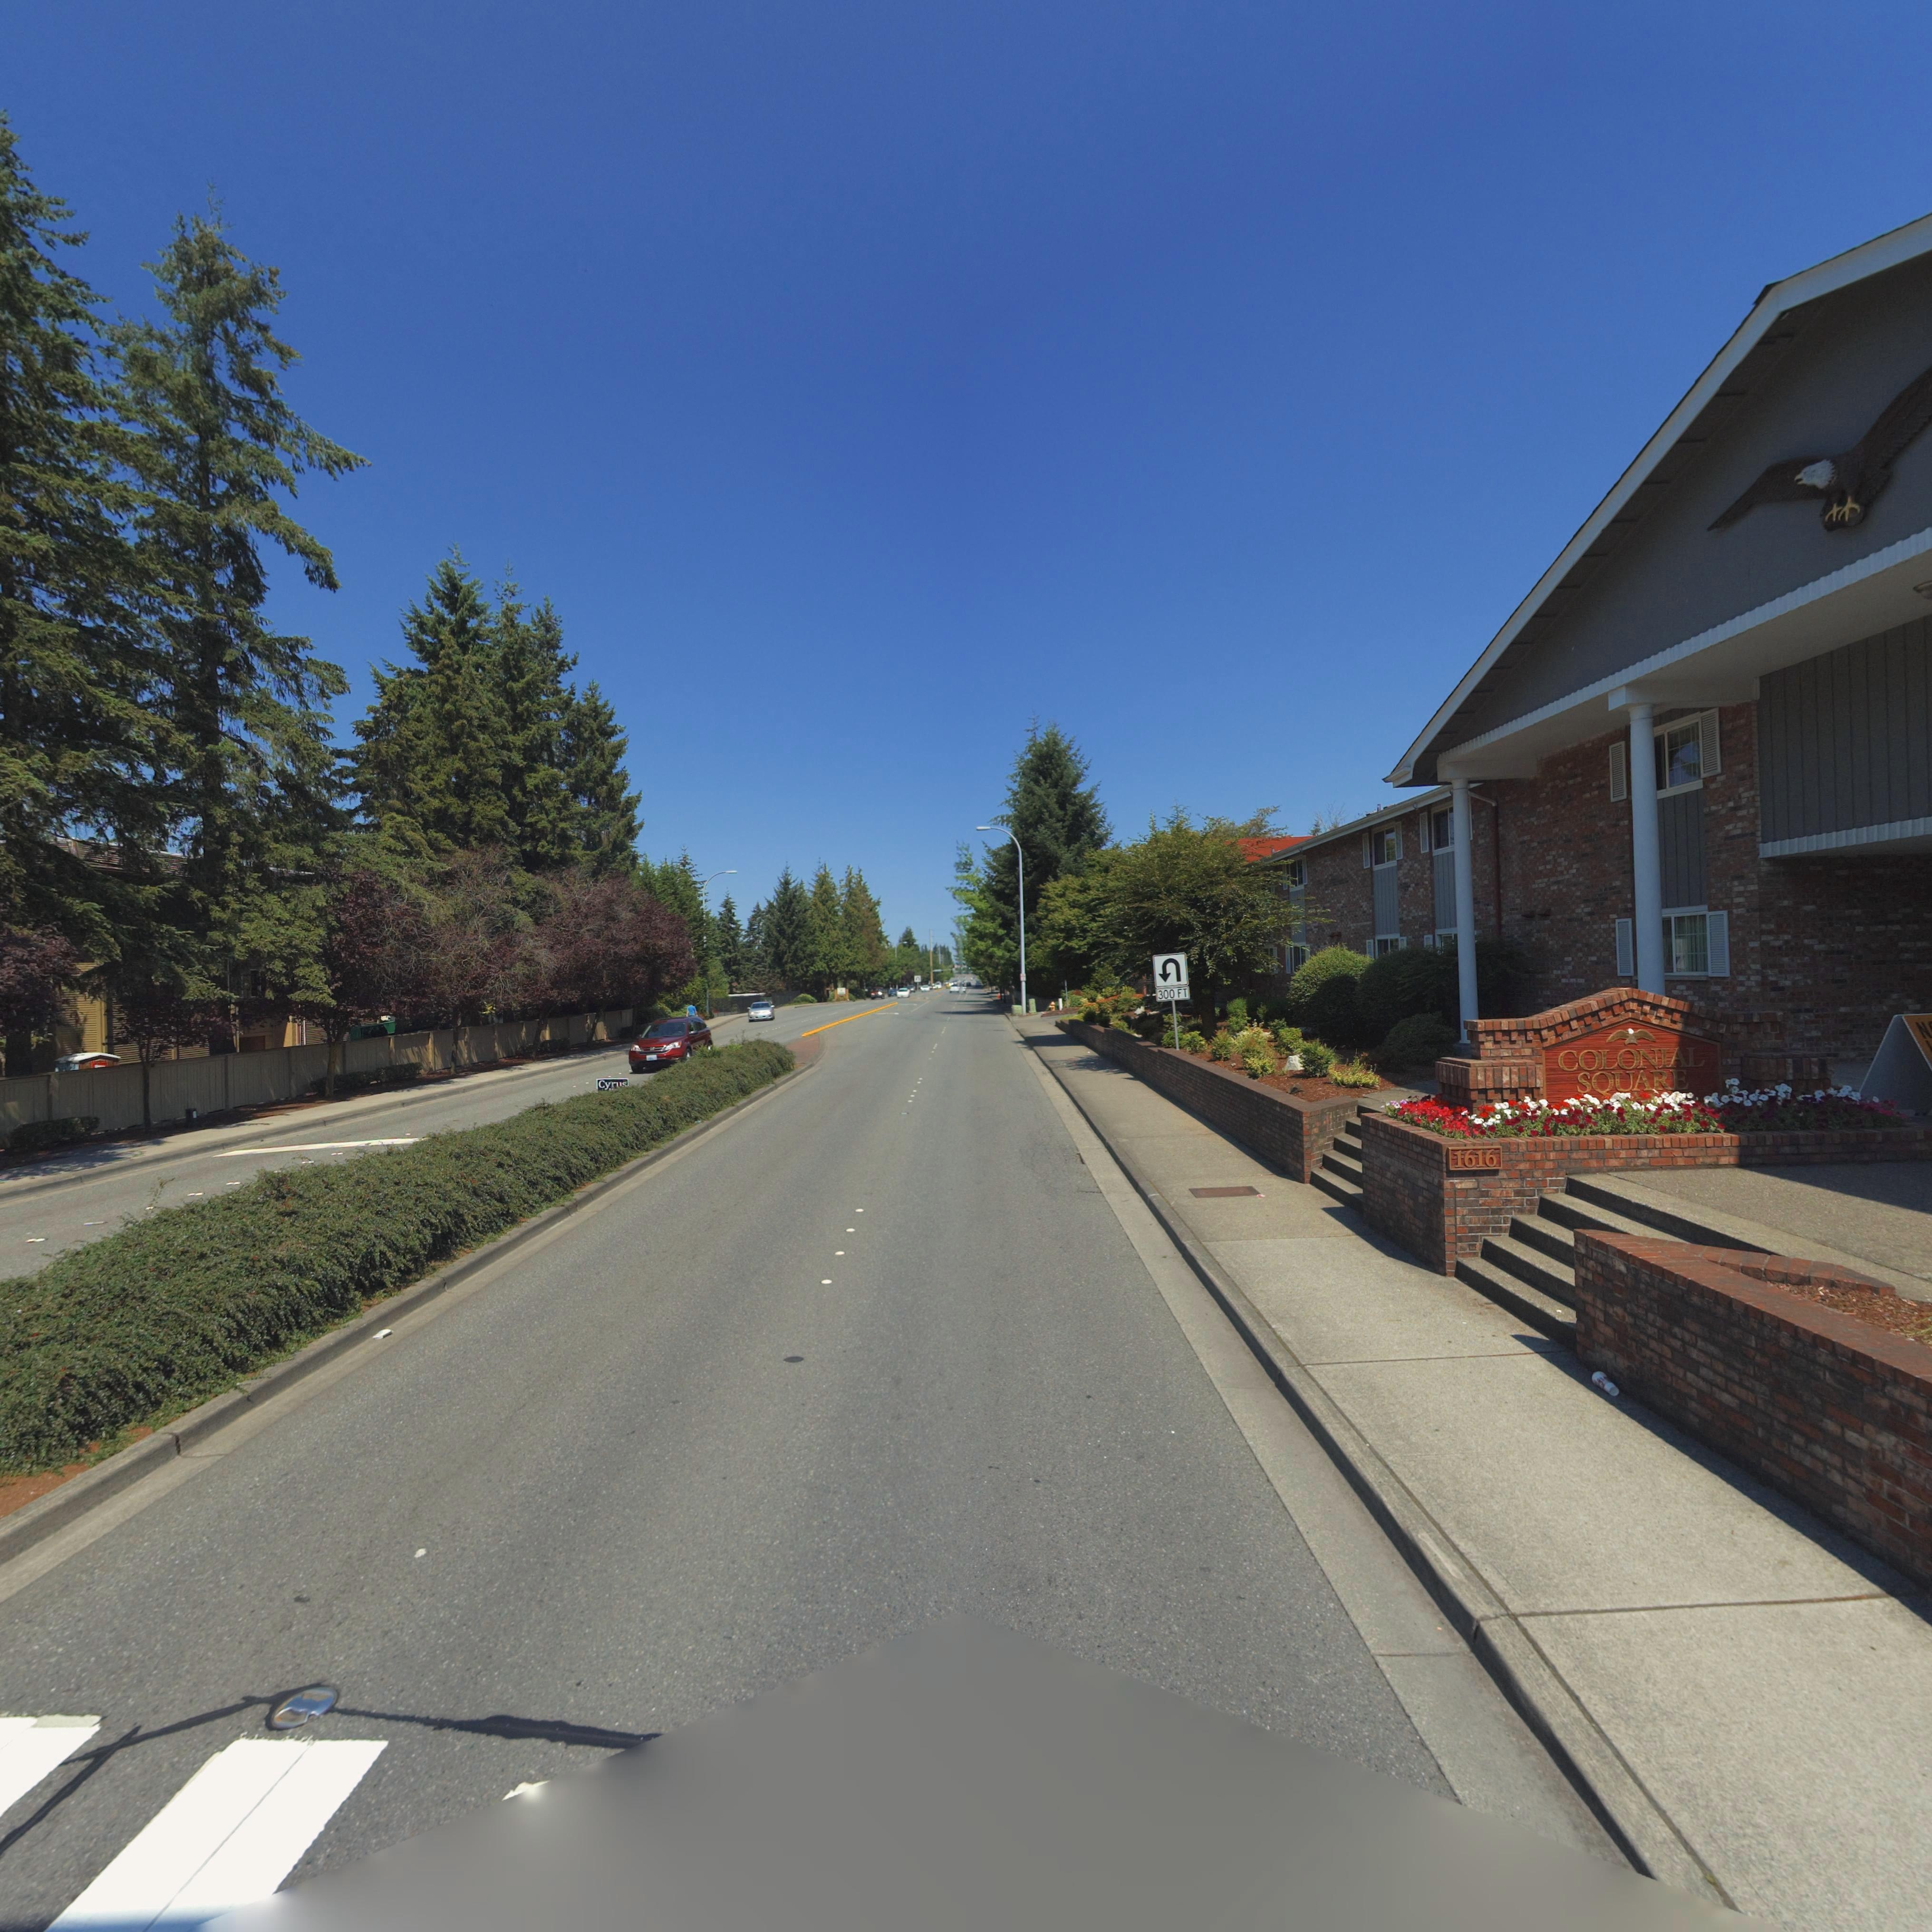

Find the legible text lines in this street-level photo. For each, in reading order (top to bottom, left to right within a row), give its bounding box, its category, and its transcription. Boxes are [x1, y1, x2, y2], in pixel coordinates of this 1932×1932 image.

[1557, 1047, 1705, 1071] BusinessName: COLONIAL
[1577, 1070, 1689, 1097] BusinessName: SQUARE